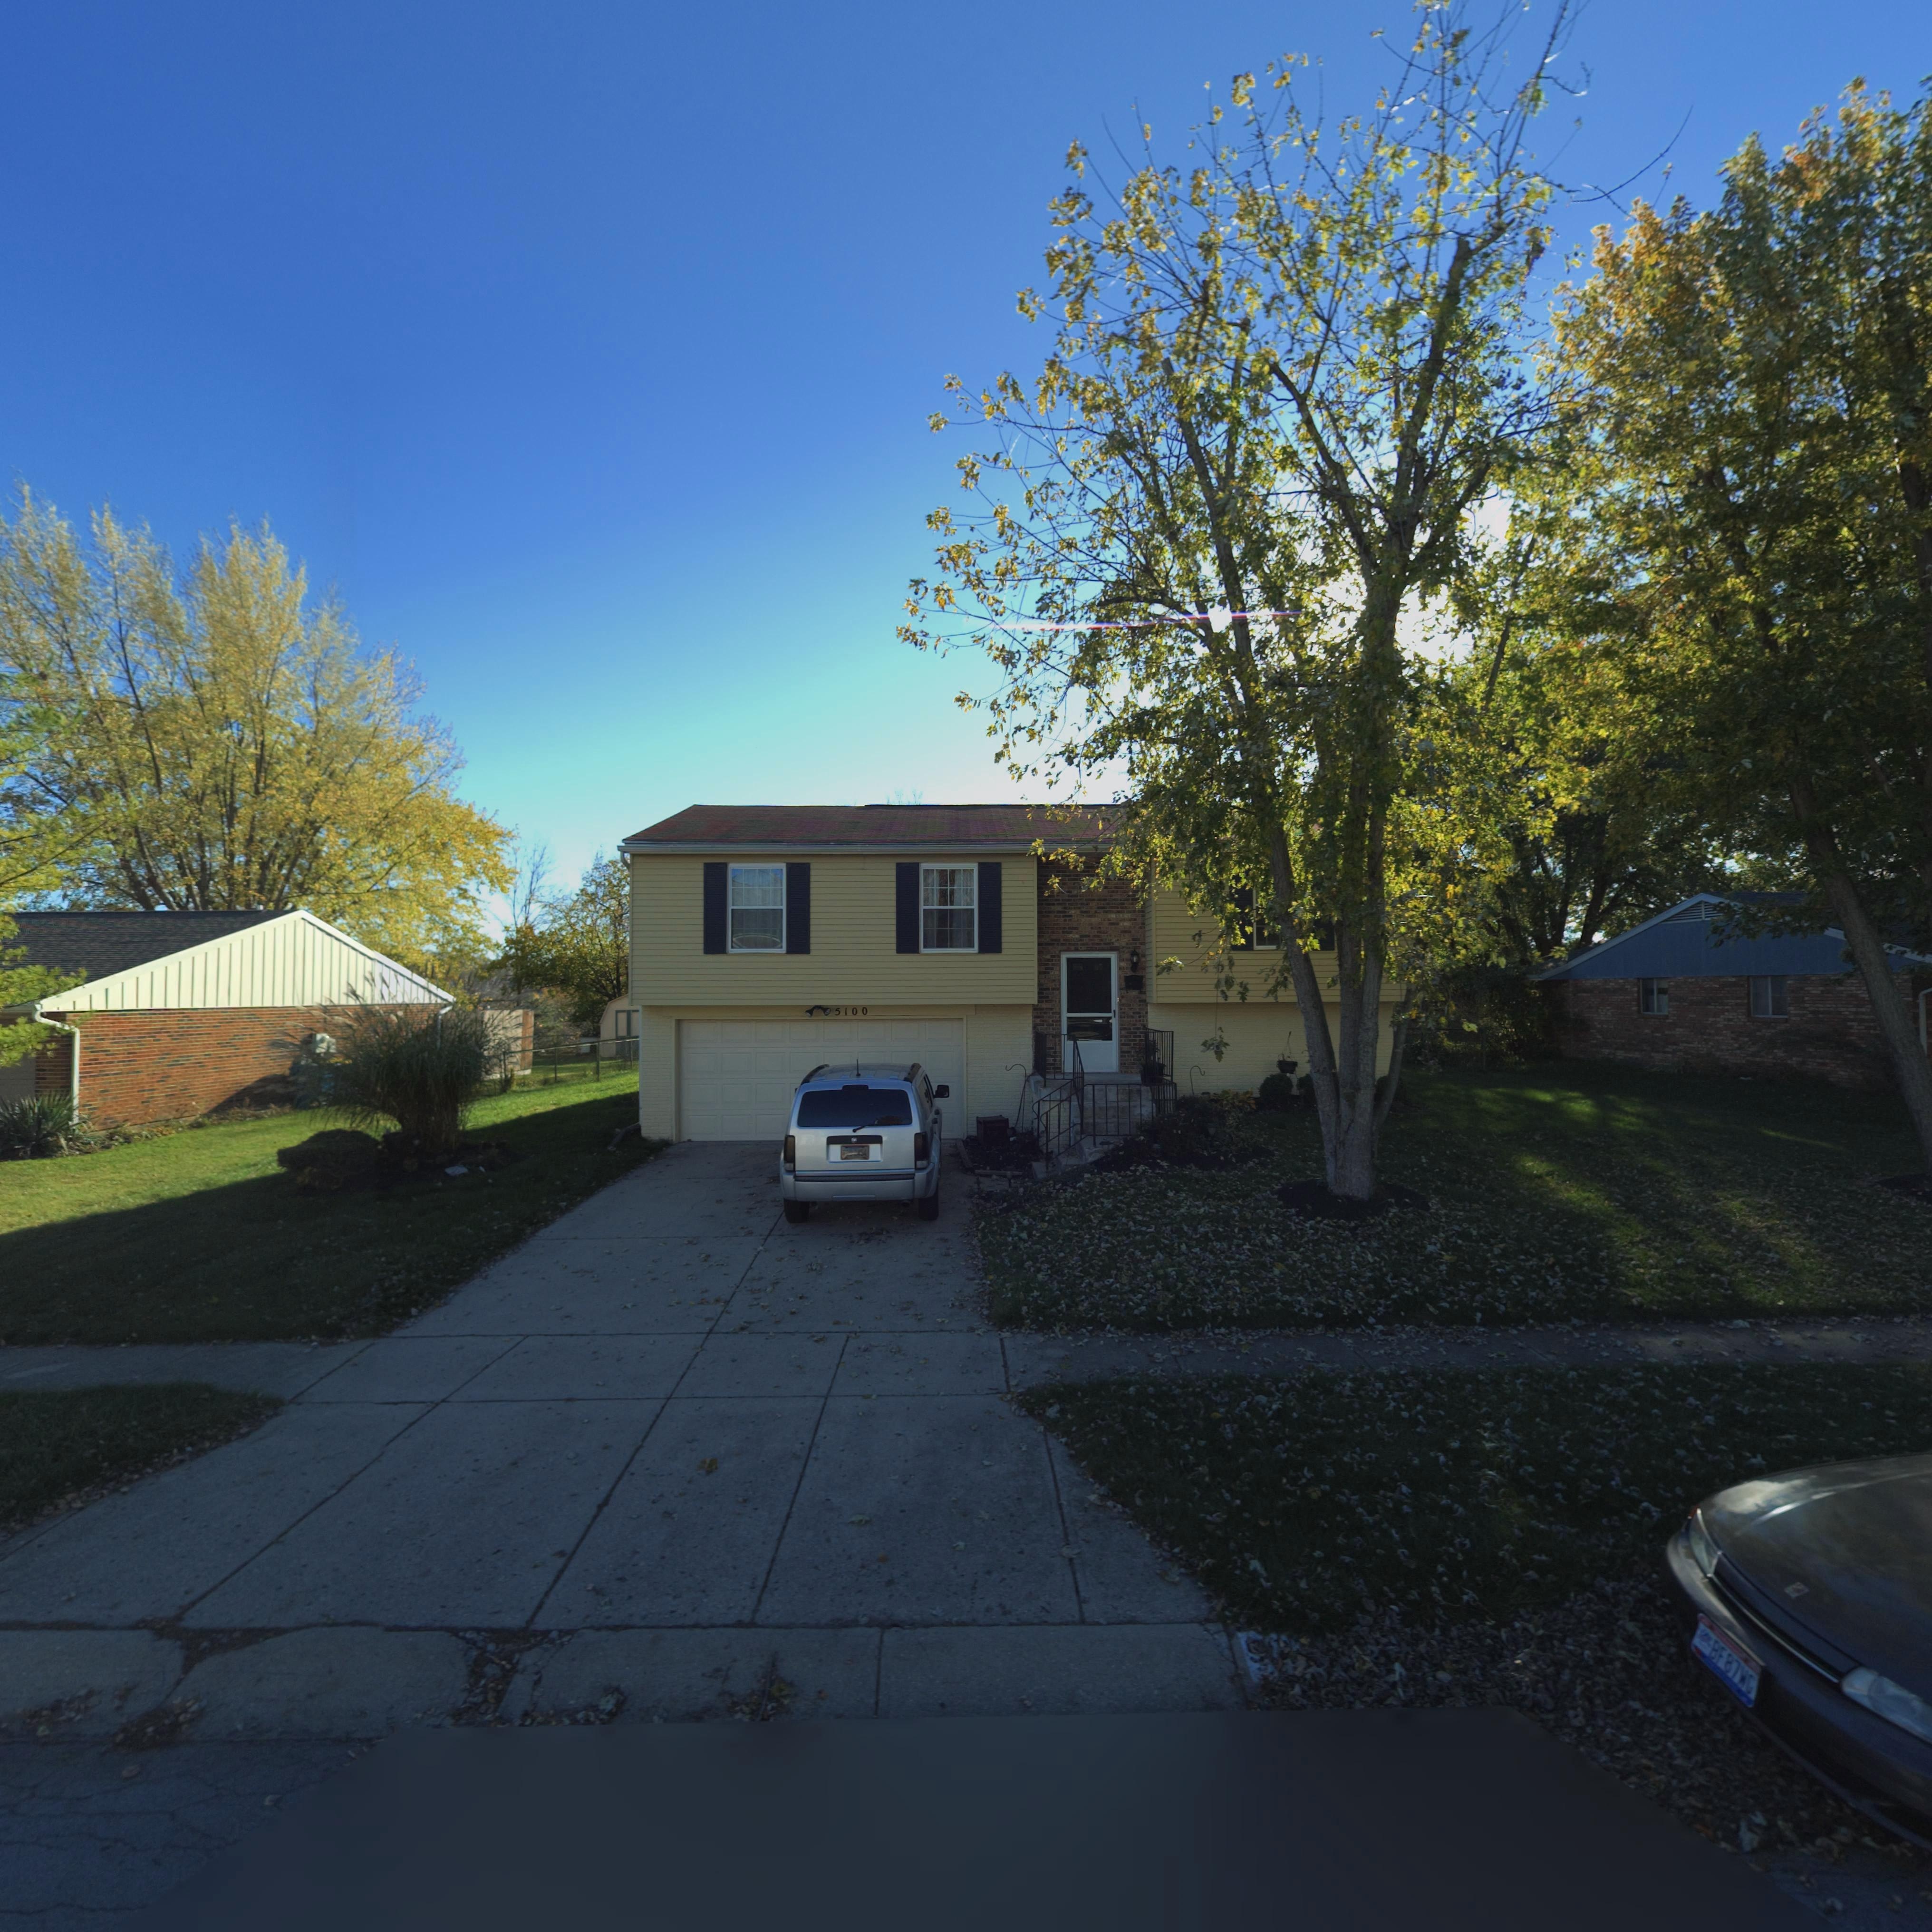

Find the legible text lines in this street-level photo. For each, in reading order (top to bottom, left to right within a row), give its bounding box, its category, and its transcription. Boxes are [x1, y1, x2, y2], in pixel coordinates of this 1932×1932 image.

[834, 1007, 868, 1016] StreetNumber: 5100